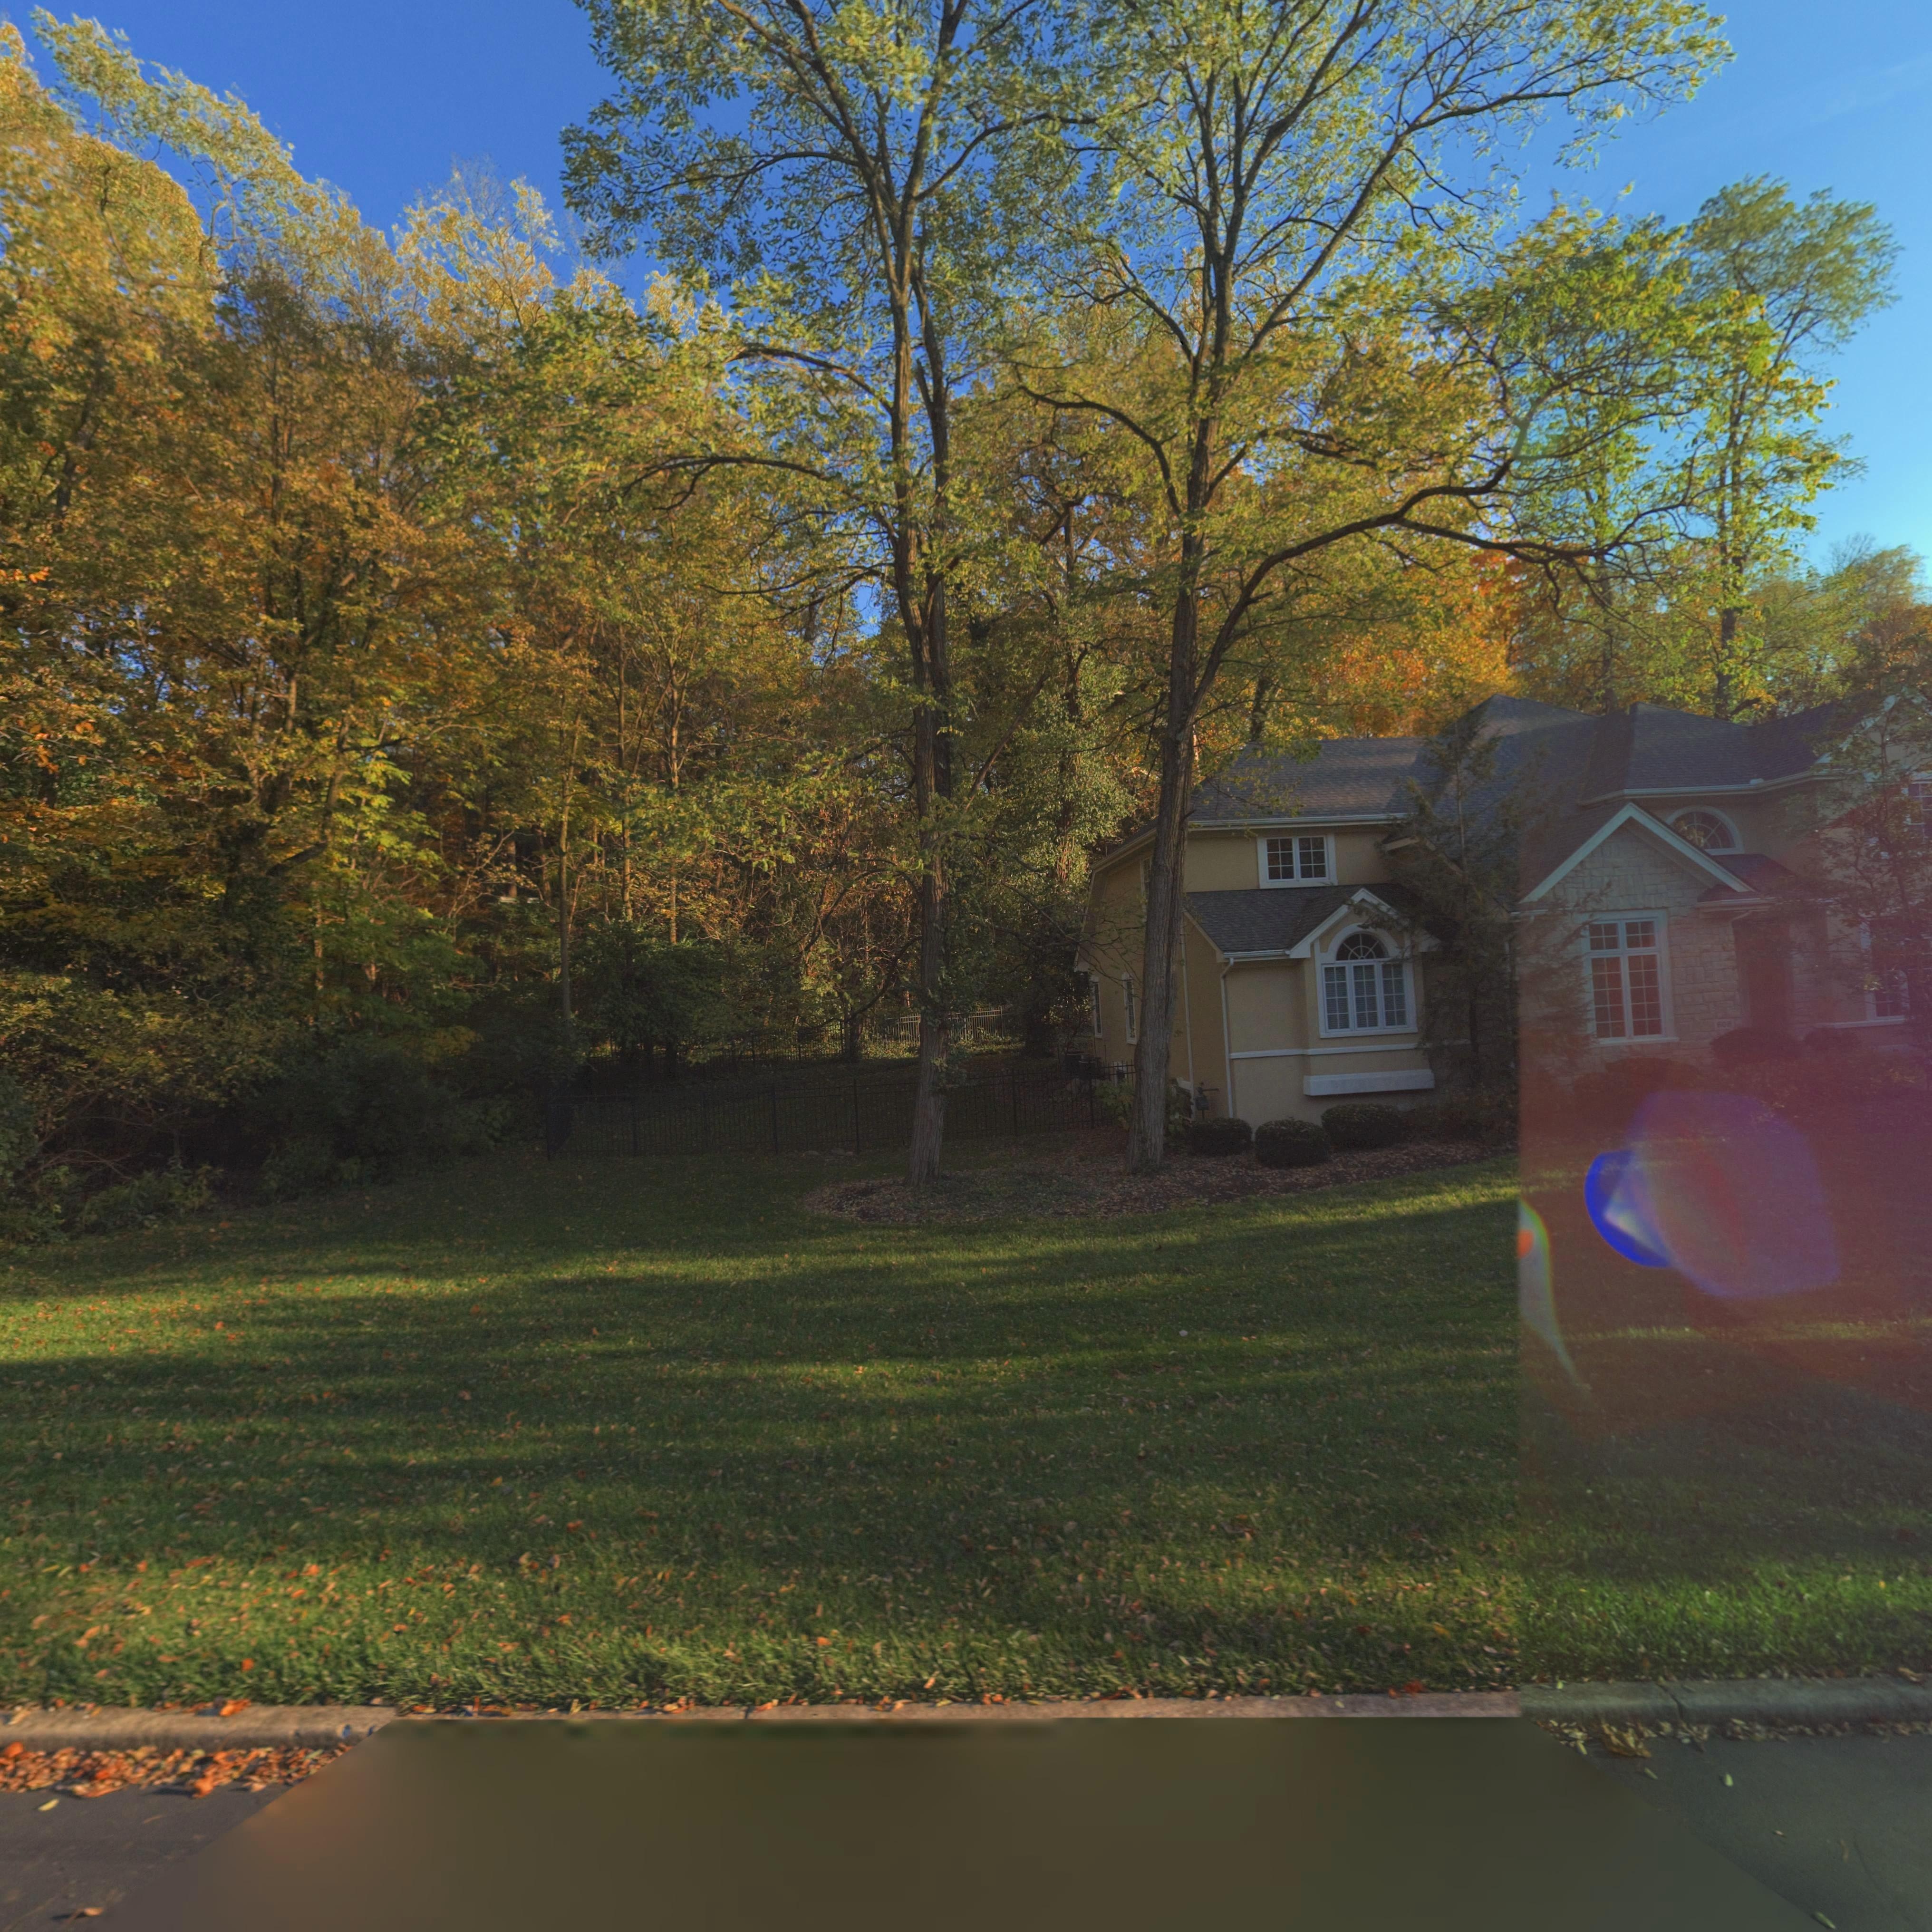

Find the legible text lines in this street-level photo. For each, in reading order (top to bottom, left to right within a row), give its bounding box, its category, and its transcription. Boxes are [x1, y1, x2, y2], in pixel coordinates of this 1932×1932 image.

[1715, 1020, 1732, 1028] StreetNumber: 608